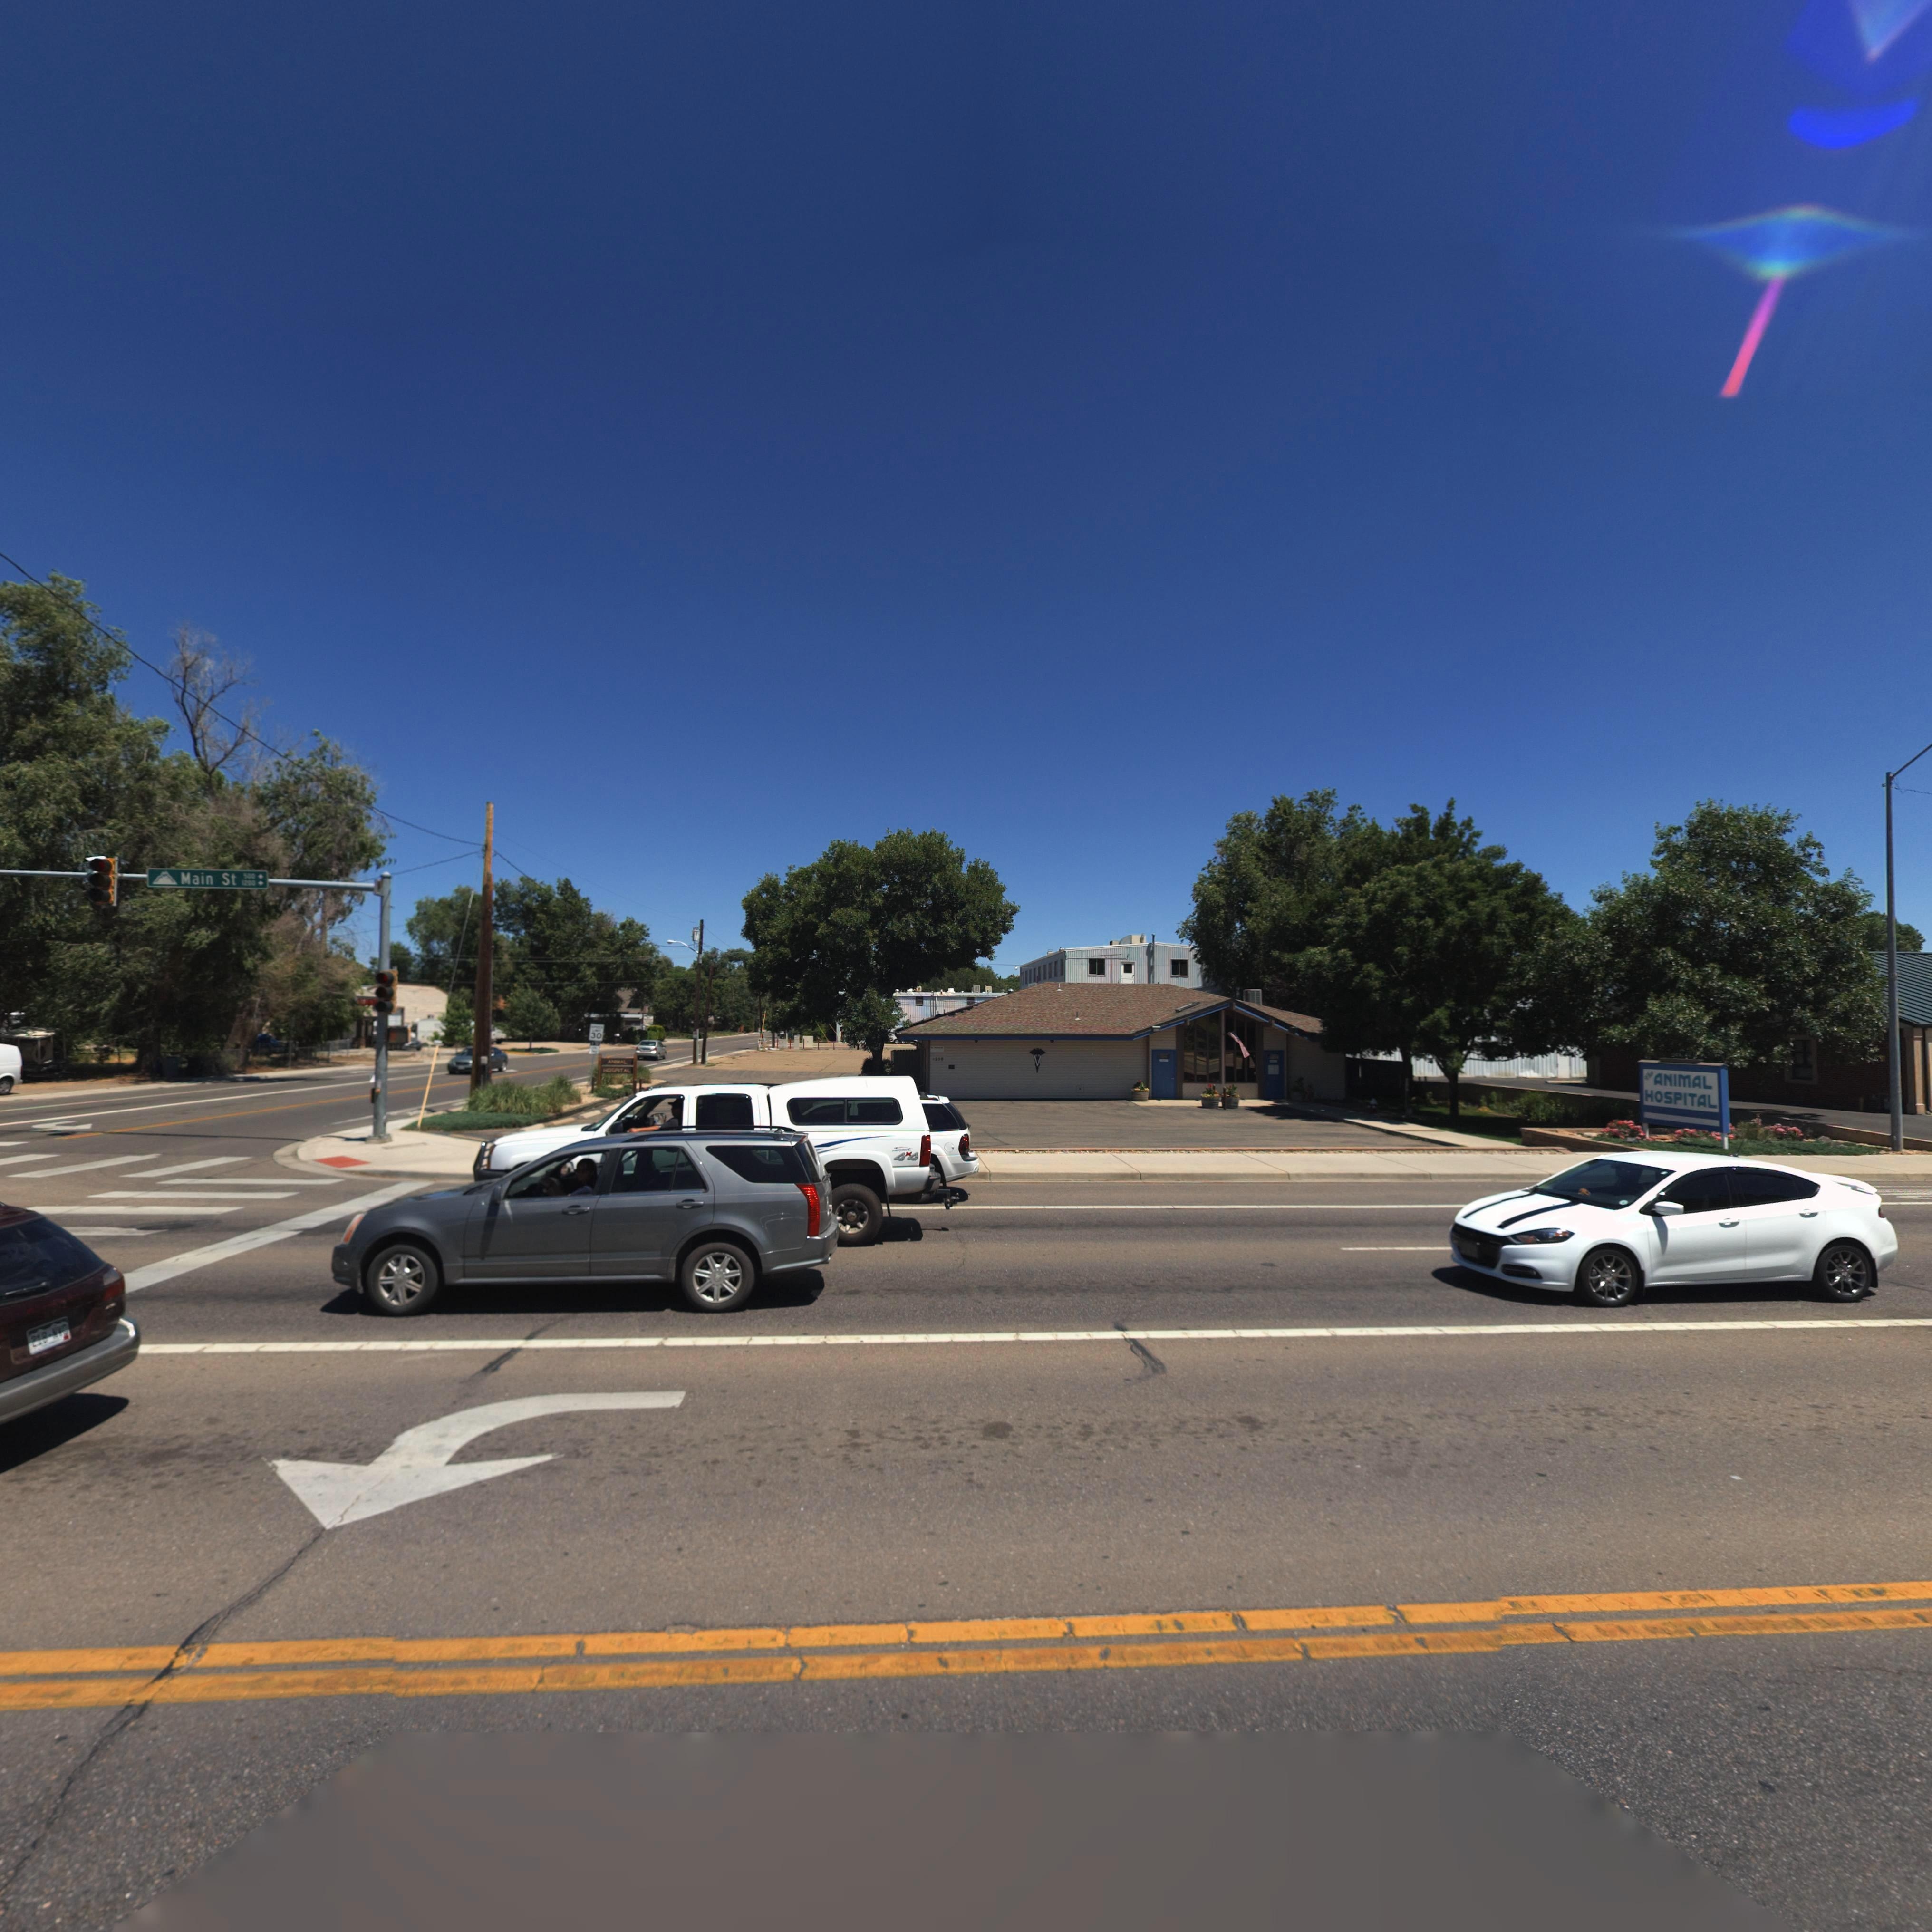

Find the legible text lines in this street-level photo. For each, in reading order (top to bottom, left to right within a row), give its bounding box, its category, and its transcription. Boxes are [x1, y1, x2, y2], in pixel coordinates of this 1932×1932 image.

[180, 871, 236, 886] StreetName: Main St
[243, 873, 256, 879] StreetNumberRange: 500
[241, 879, 264, 886] StreetNumberRange: 1200 ->
[607, 1059, 627, 1064] BusinessName: ANIMAL
[932, 1057, 944, 1061] StreetNumber: 1250
[603, 1067, 630, 1072] BusinessName: HOSPITAL
[1643, 1070, 1654, 1081] BusinessName: The
[1653, 1072, 1713, 1090] BusinessName: ANIMAL
[1644, 1088, 1718, 1109] BusinessName: HOSPITAL